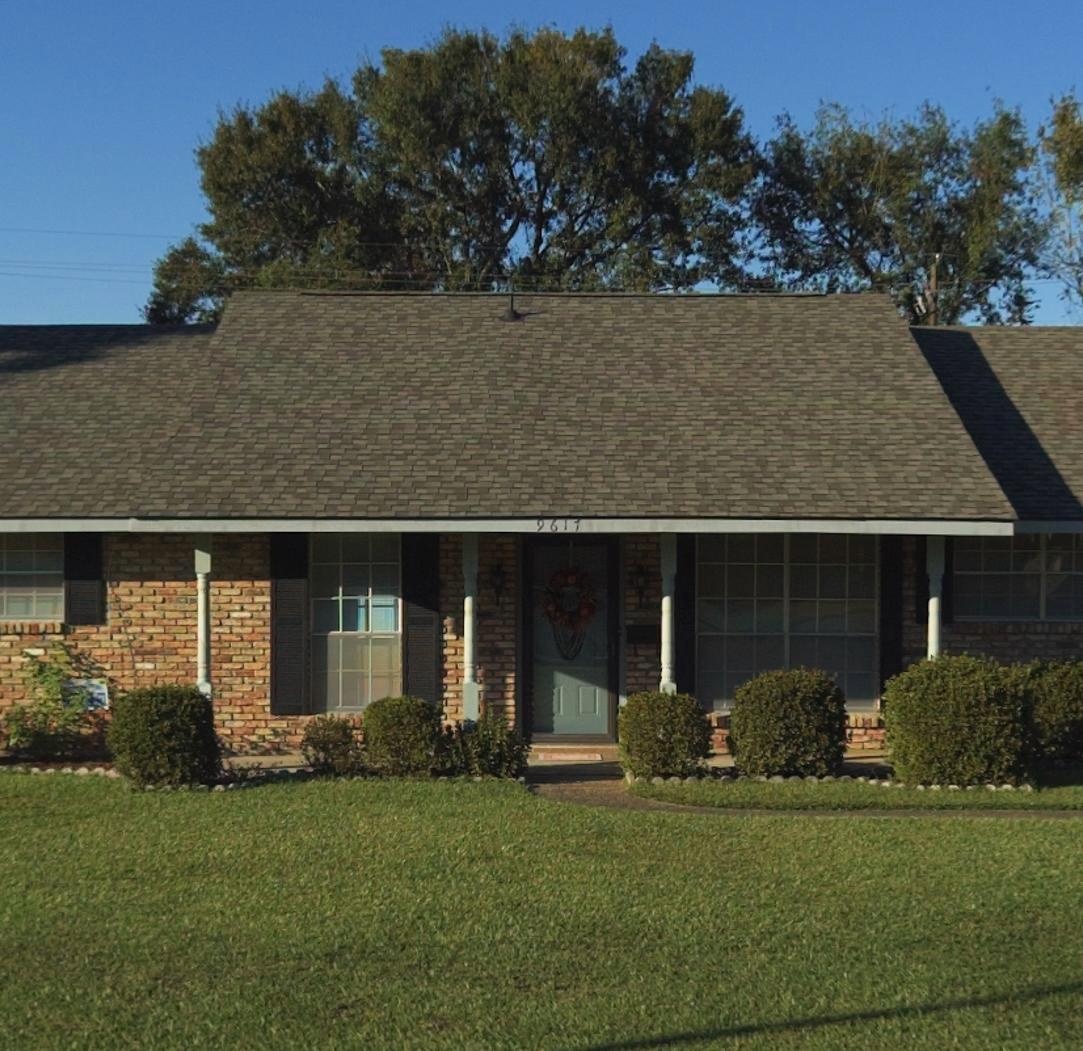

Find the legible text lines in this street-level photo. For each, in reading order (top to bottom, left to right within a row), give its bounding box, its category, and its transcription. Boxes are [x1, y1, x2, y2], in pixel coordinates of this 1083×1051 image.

[535, 517, 582, 533] StreetNumber: 9617